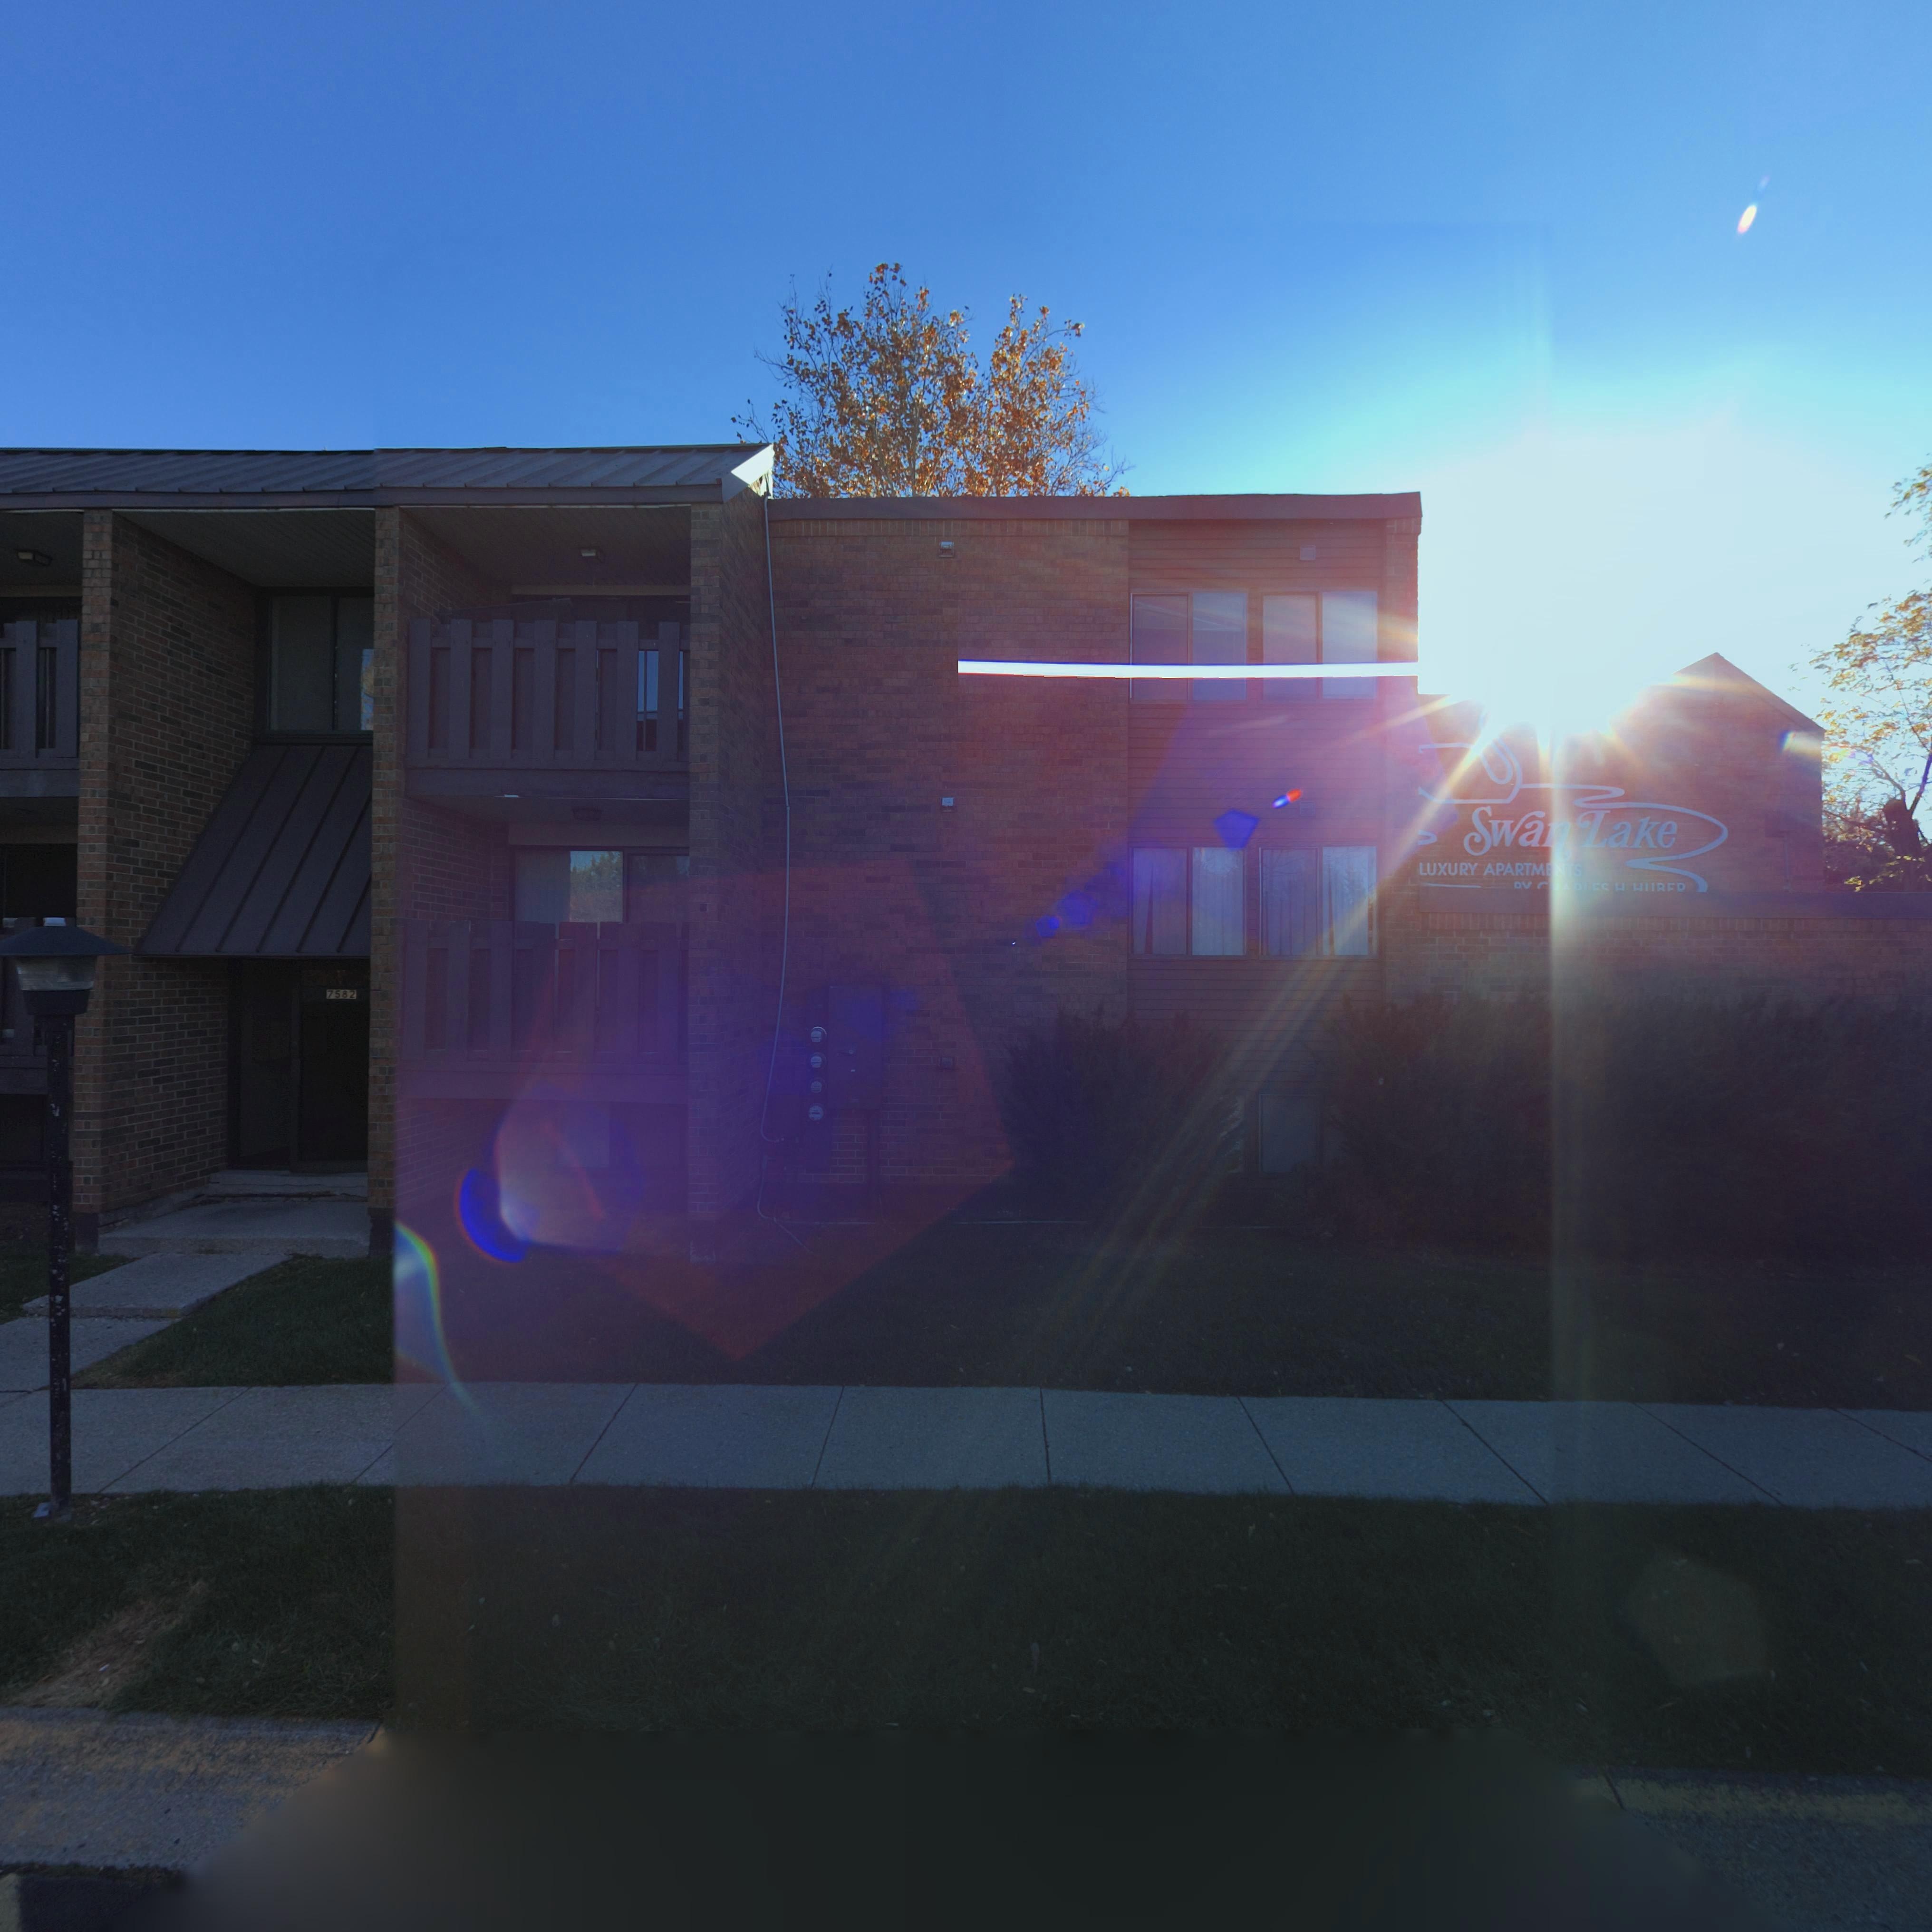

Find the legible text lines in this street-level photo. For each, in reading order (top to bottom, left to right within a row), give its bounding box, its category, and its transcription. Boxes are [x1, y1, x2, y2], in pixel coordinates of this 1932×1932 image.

[327, 989, 355, 999] StreetNumber: 7582